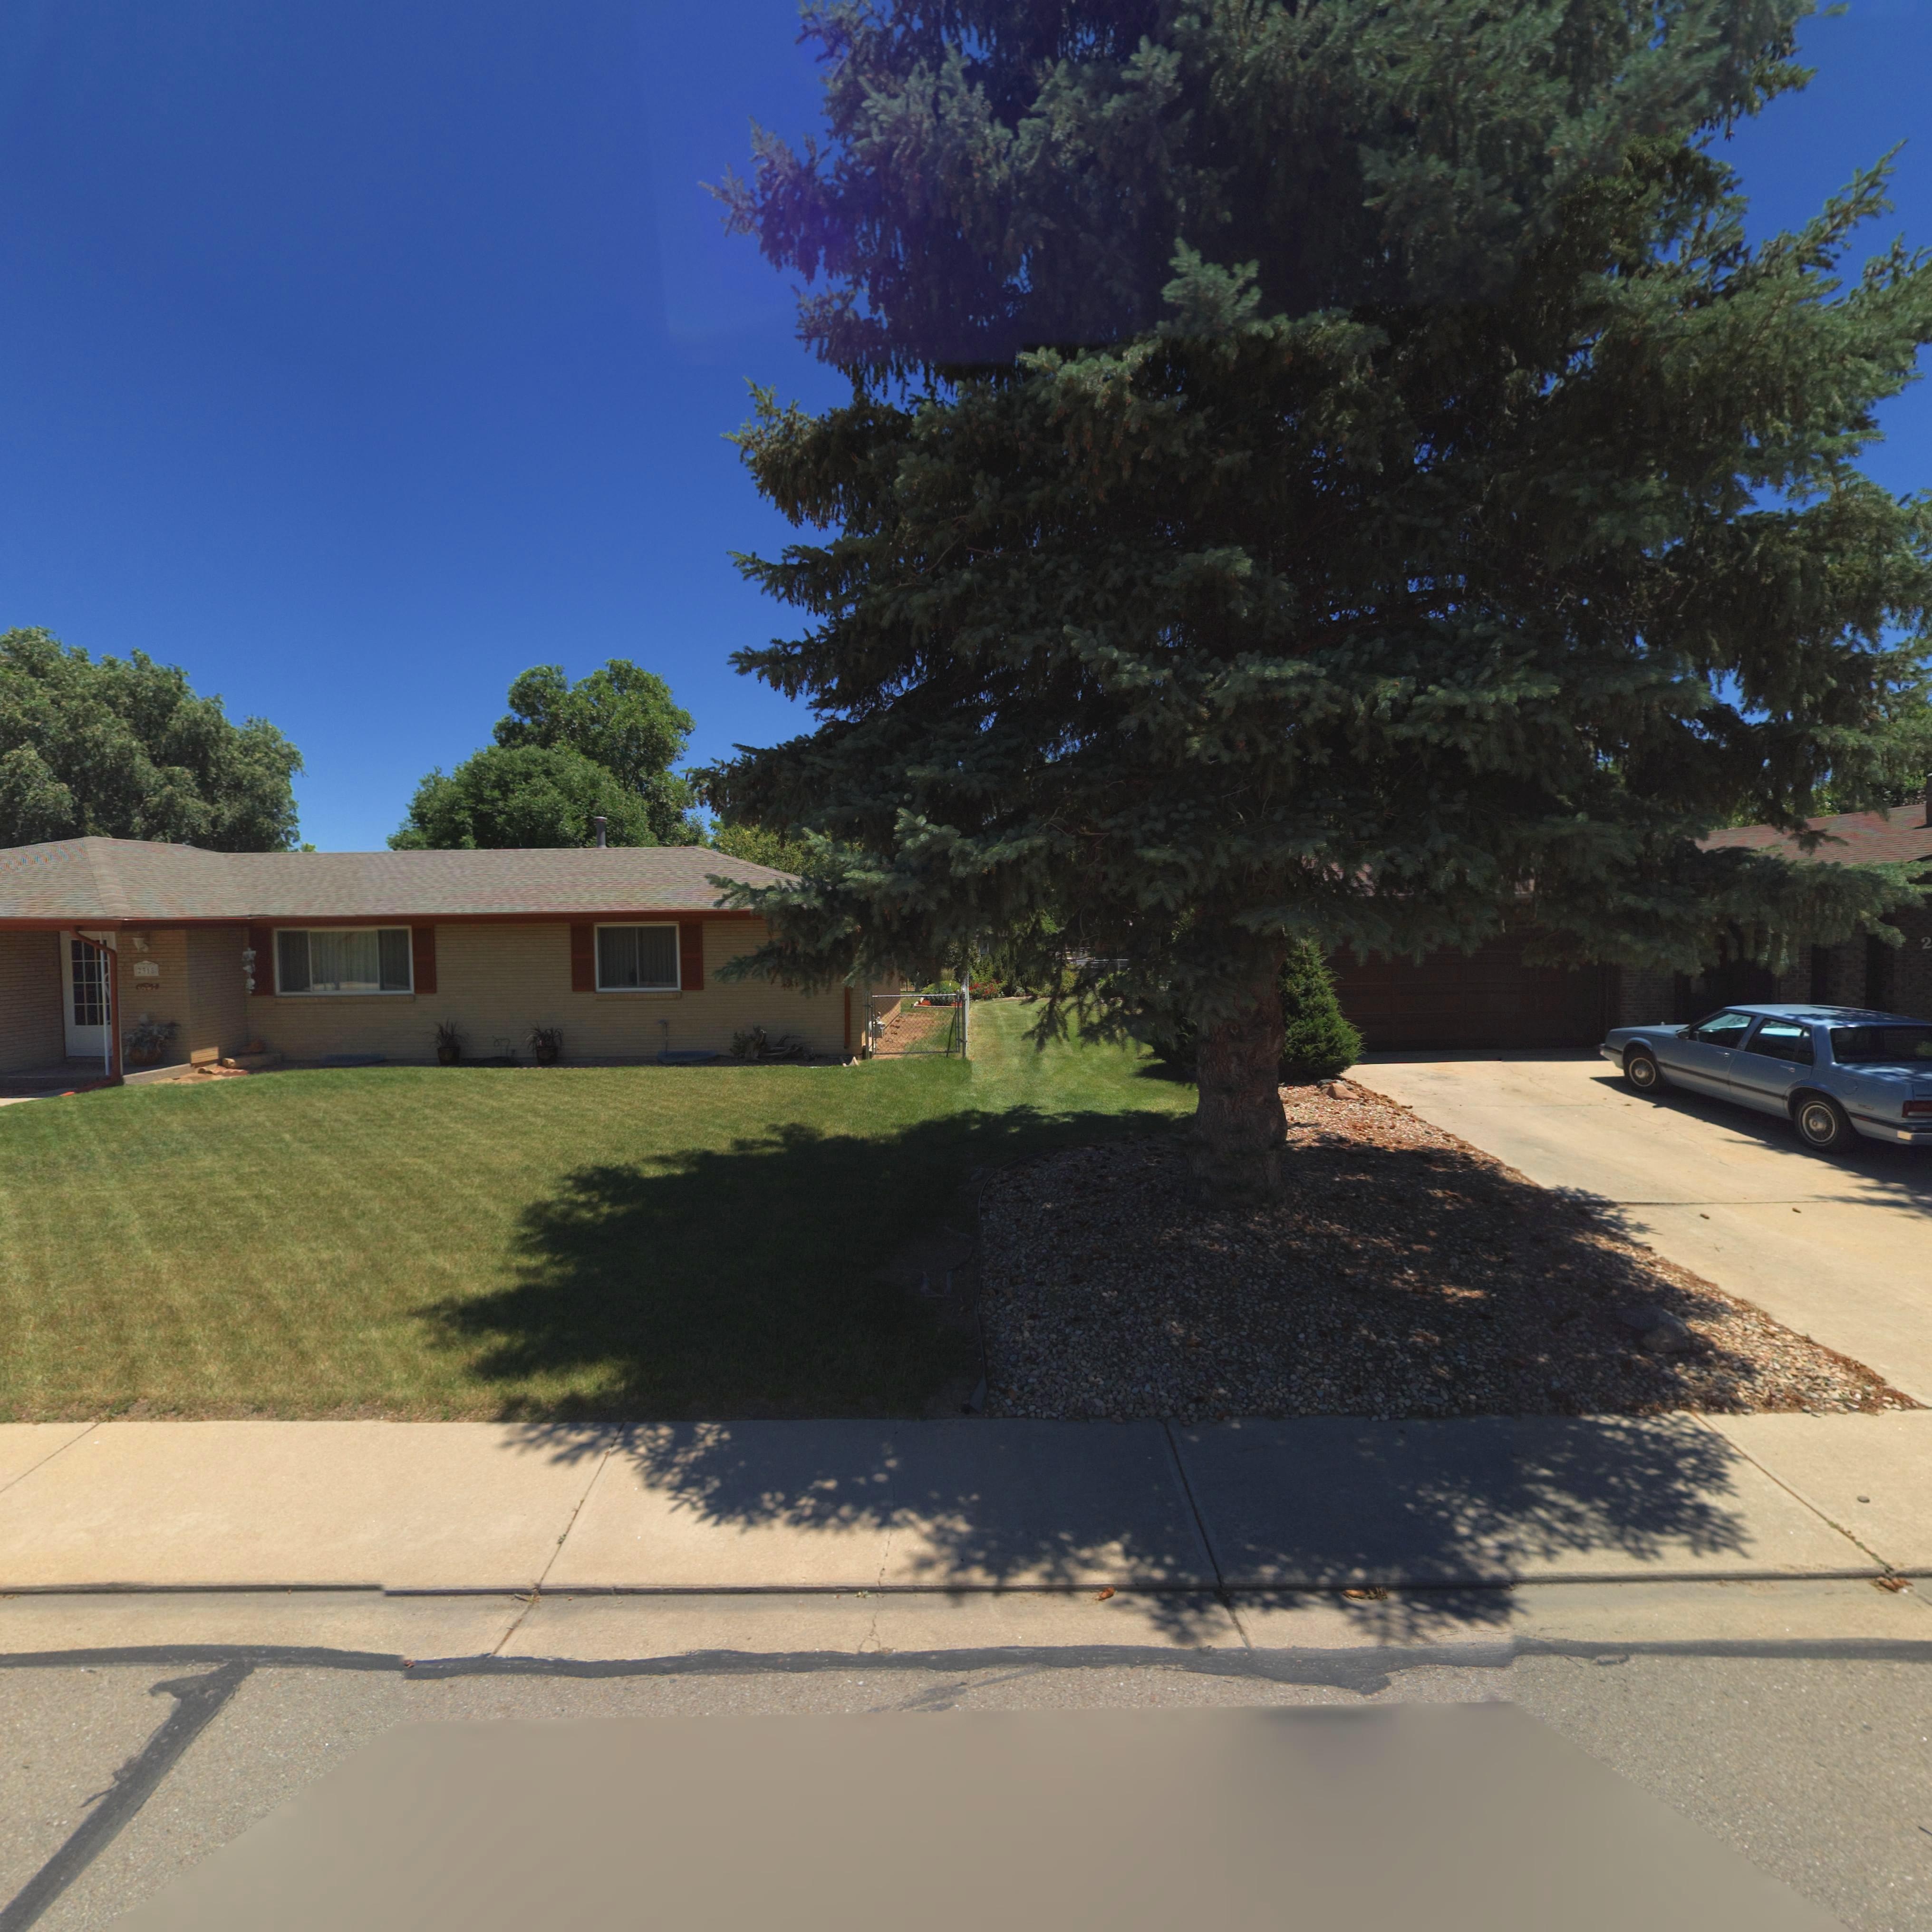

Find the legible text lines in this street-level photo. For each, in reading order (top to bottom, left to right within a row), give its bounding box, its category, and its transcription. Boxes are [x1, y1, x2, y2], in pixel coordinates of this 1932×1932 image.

[136, 966, 155, 975] StreetNumber: 2318